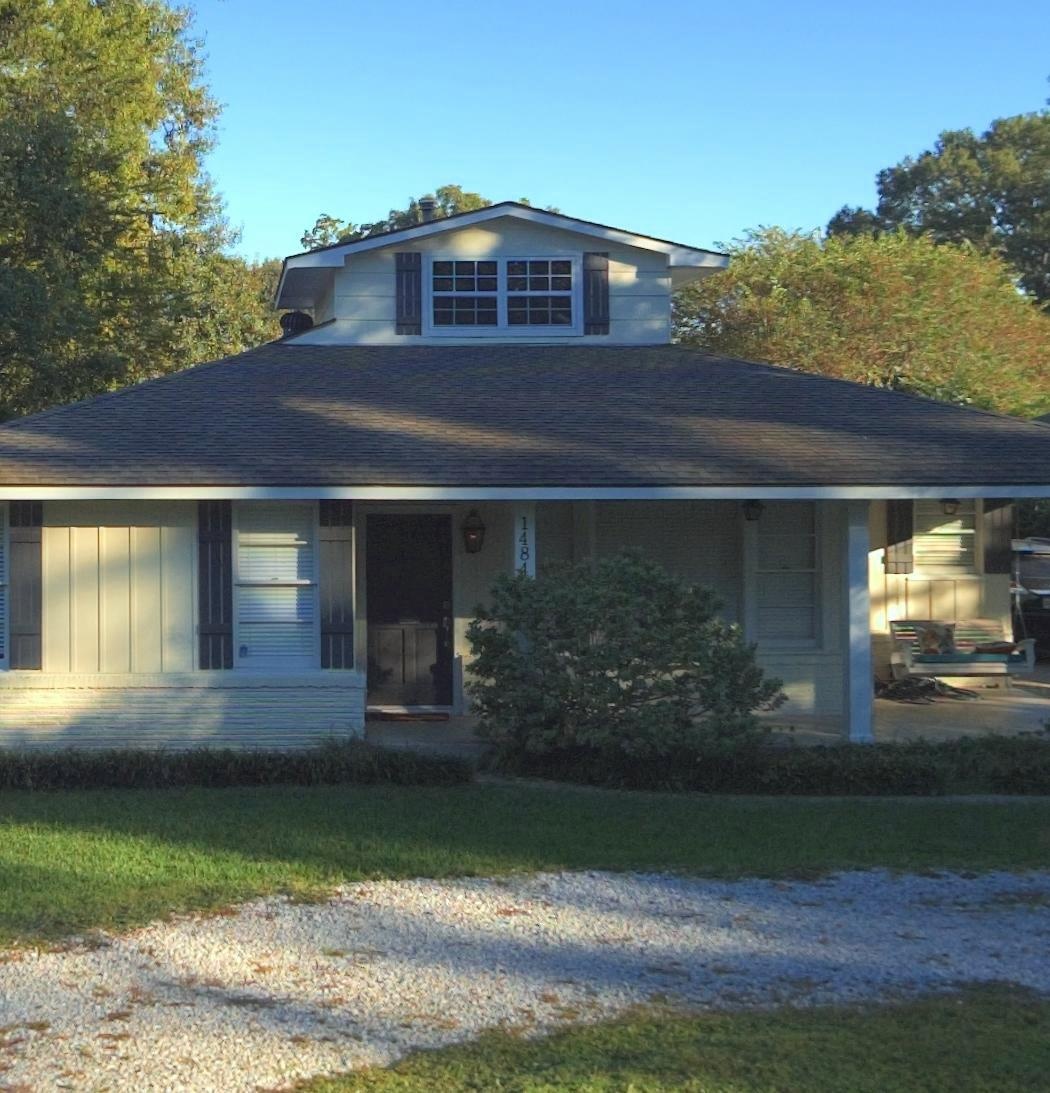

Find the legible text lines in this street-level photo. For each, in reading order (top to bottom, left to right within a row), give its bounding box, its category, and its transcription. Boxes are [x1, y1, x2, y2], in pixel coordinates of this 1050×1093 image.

[516, 513, 532, 563] StreetNumber: 148